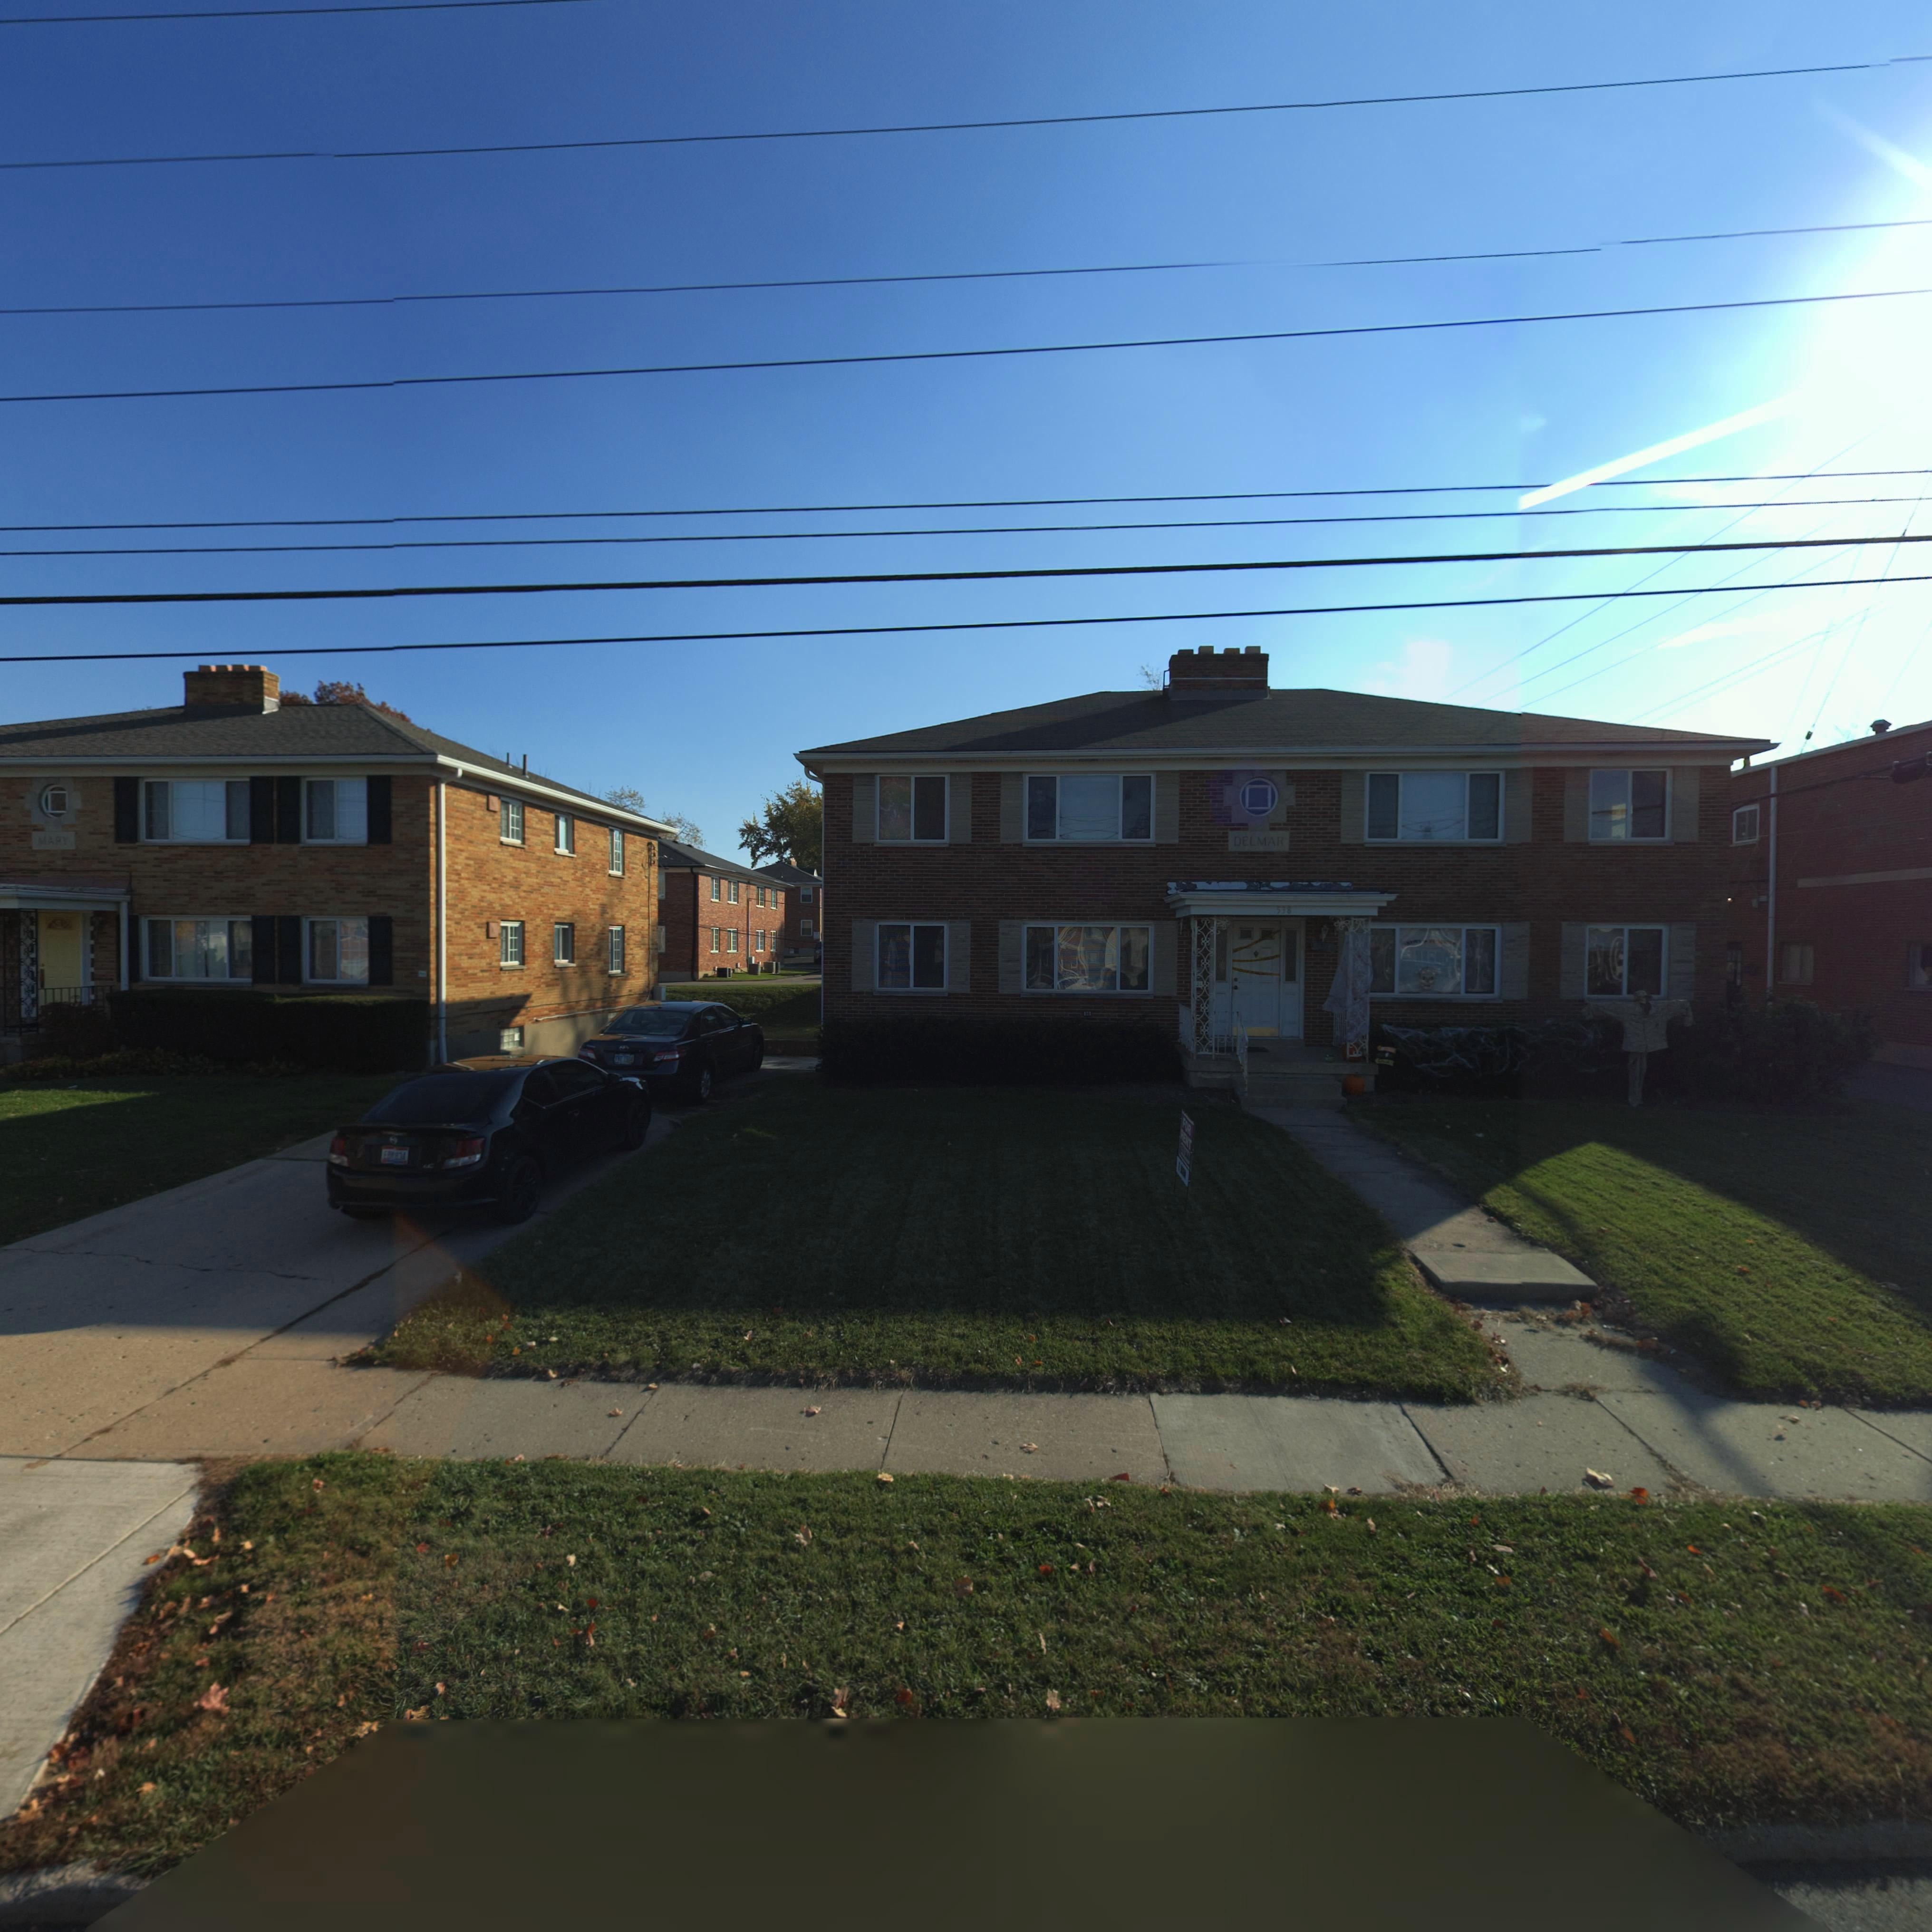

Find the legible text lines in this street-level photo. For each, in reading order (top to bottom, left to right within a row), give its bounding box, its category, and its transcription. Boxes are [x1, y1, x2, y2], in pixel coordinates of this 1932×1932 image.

[1276, 905, 1292, 915] StreetNumber: 538